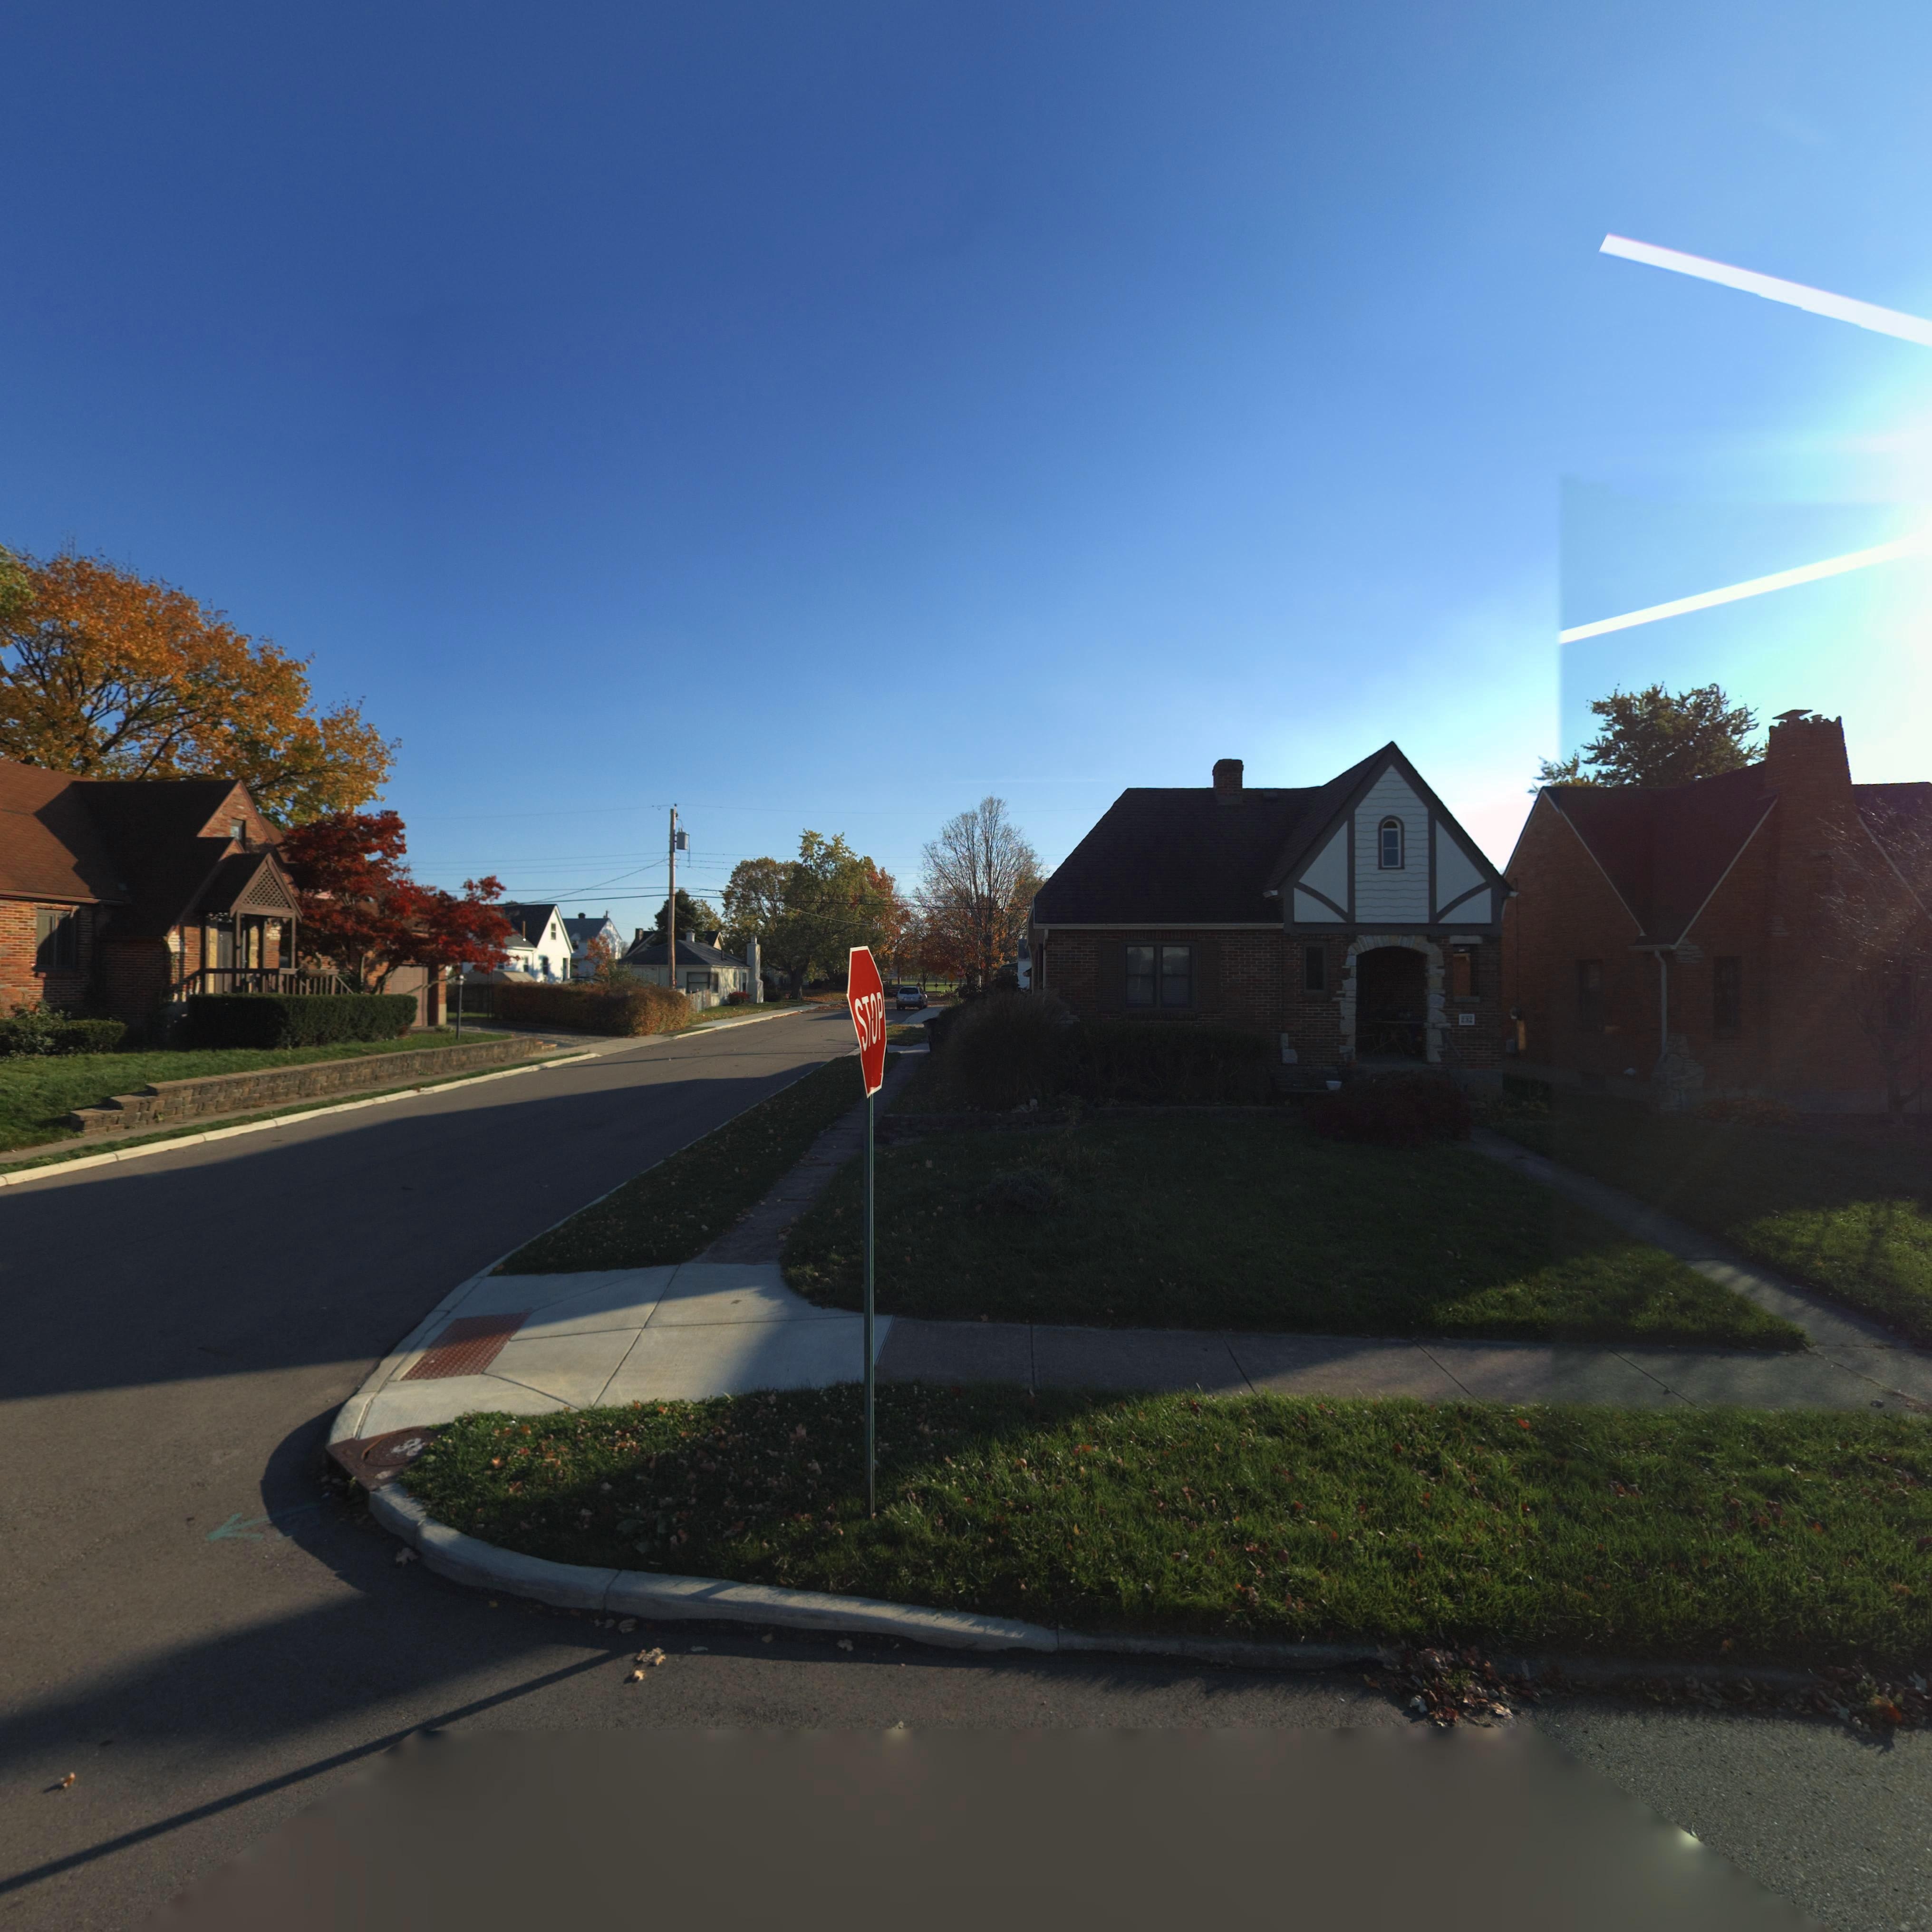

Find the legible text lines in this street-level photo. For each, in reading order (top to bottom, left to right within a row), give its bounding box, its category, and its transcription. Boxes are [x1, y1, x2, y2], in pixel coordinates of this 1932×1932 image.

[1461, 1017, 1473, 1022] StreetNumber: 232